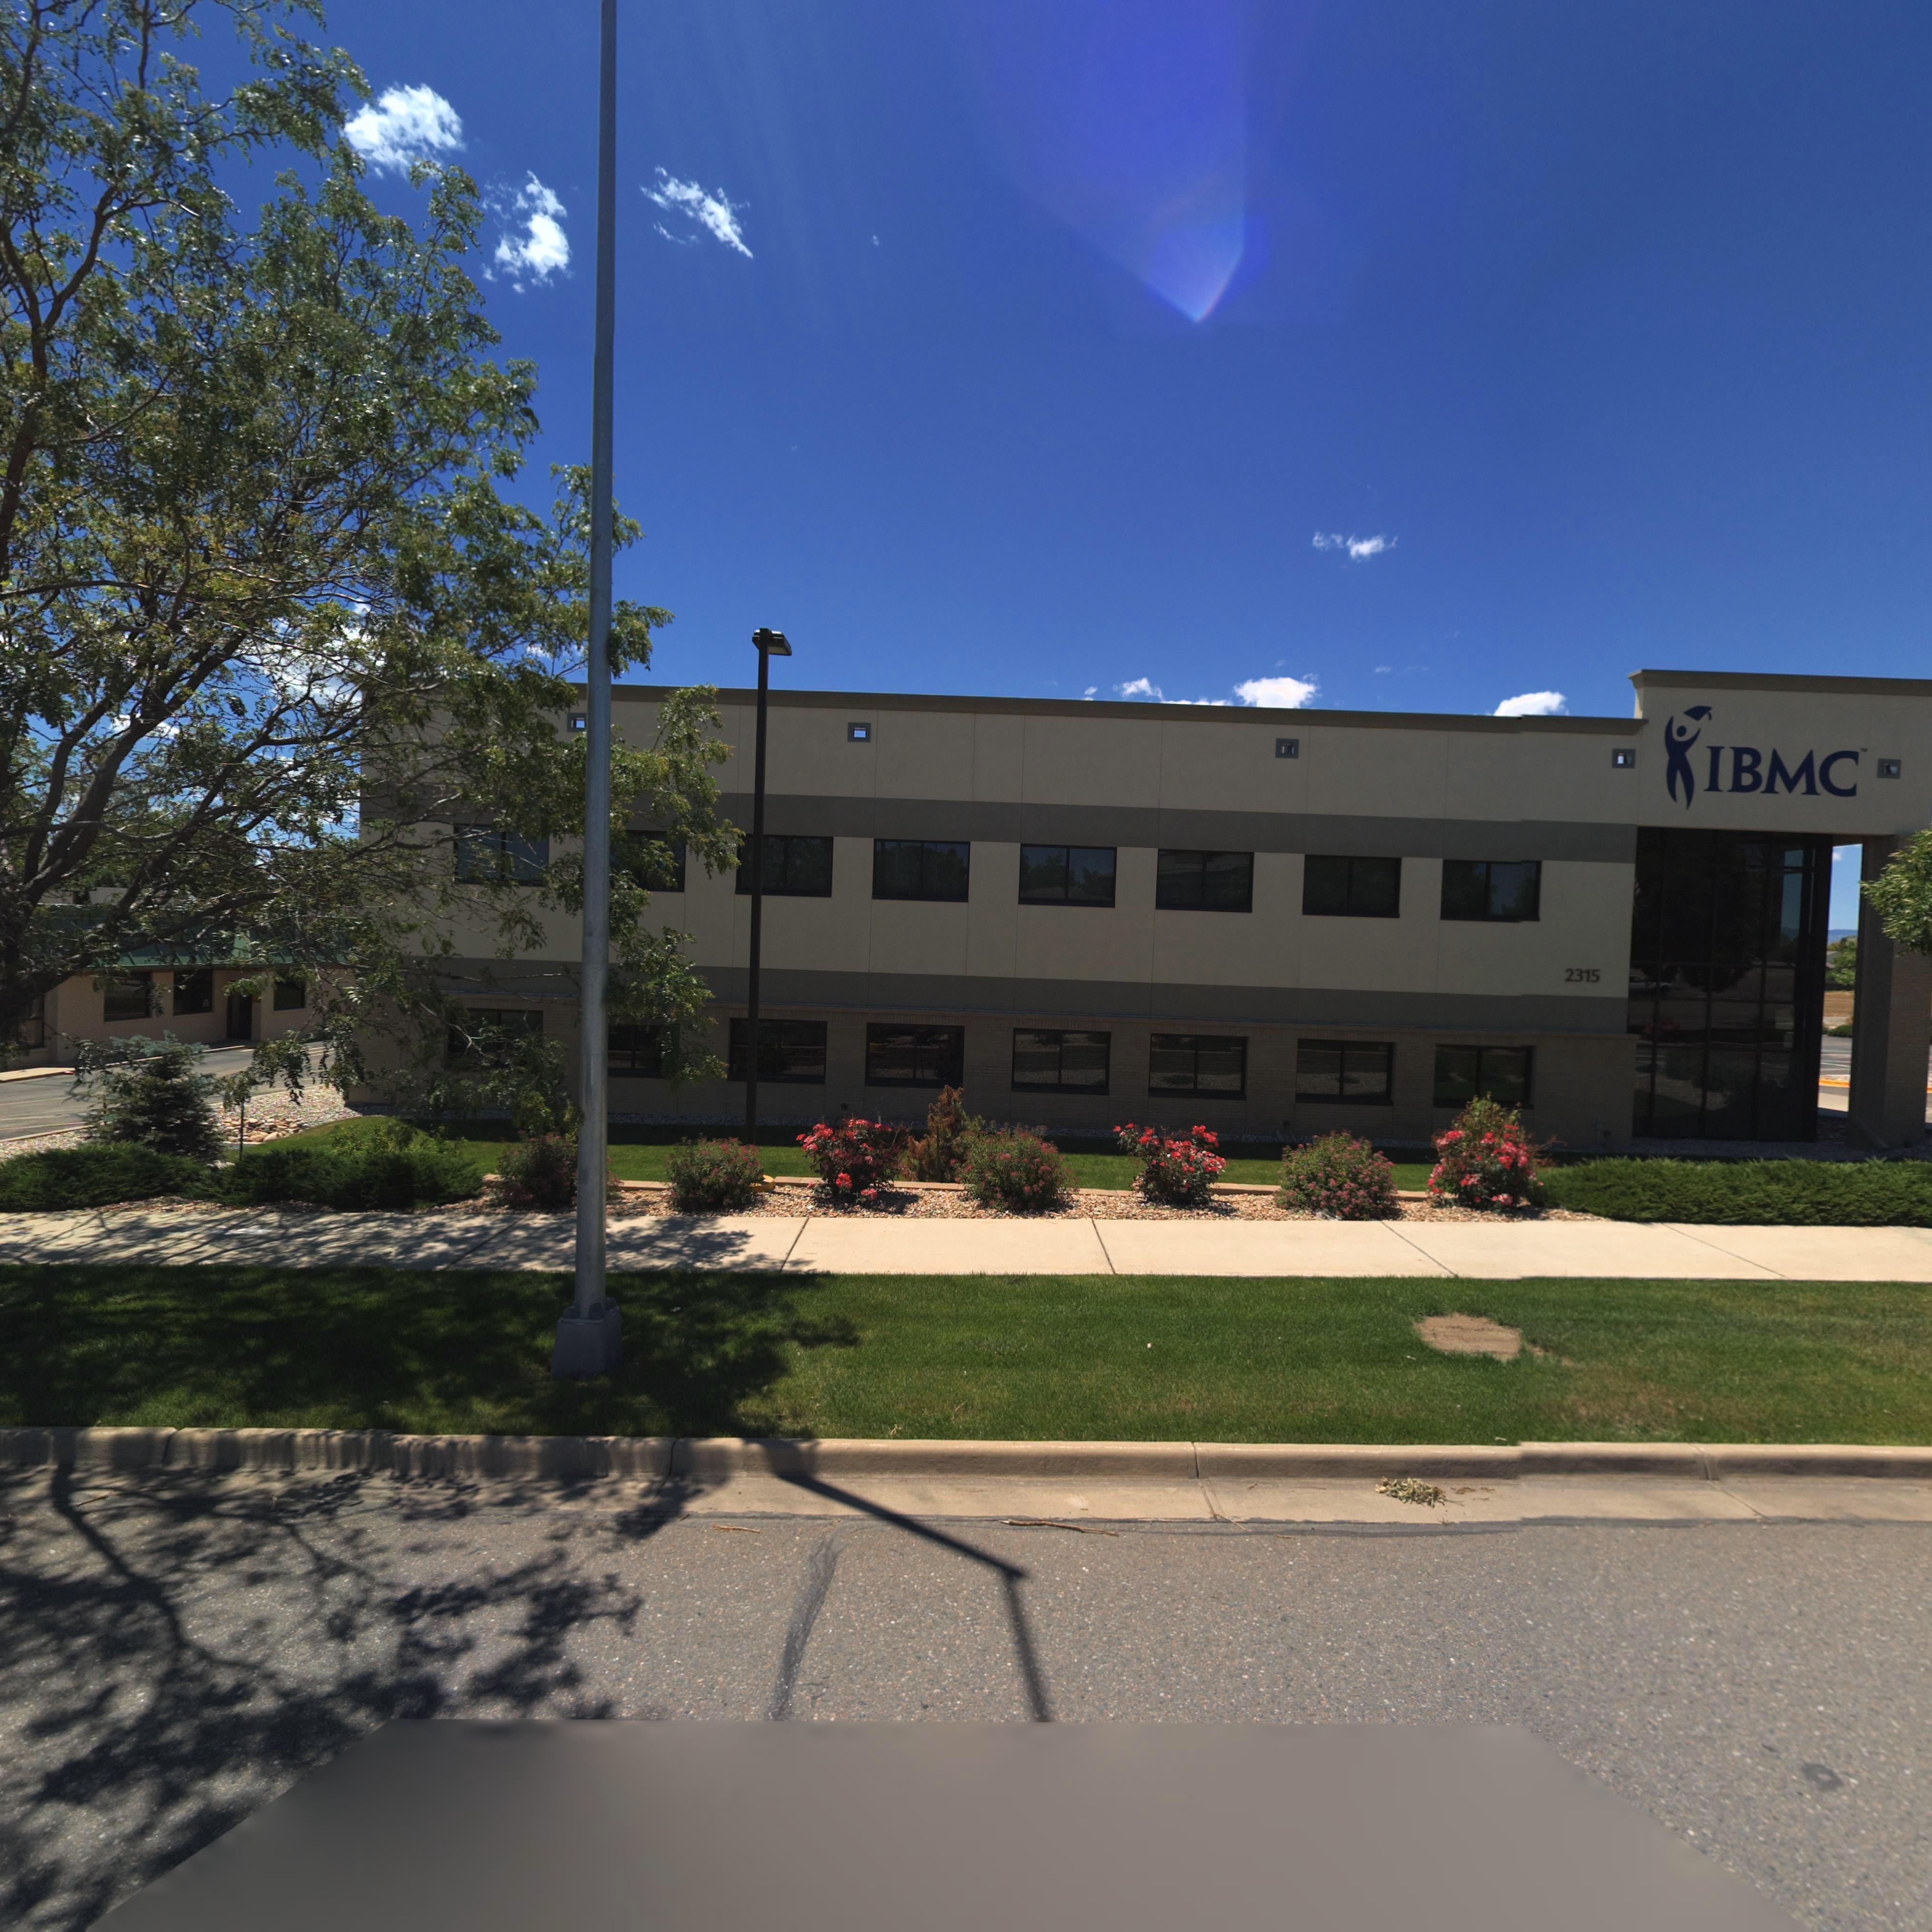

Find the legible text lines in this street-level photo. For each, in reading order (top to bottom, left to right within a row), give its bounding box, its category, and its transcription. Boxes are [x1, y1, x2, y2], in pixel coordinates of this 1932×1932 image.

[1702, 744, 1860, 799] BusinessName: IBMC
[1565, 967, 1600, 983] StreetNumber: 2315